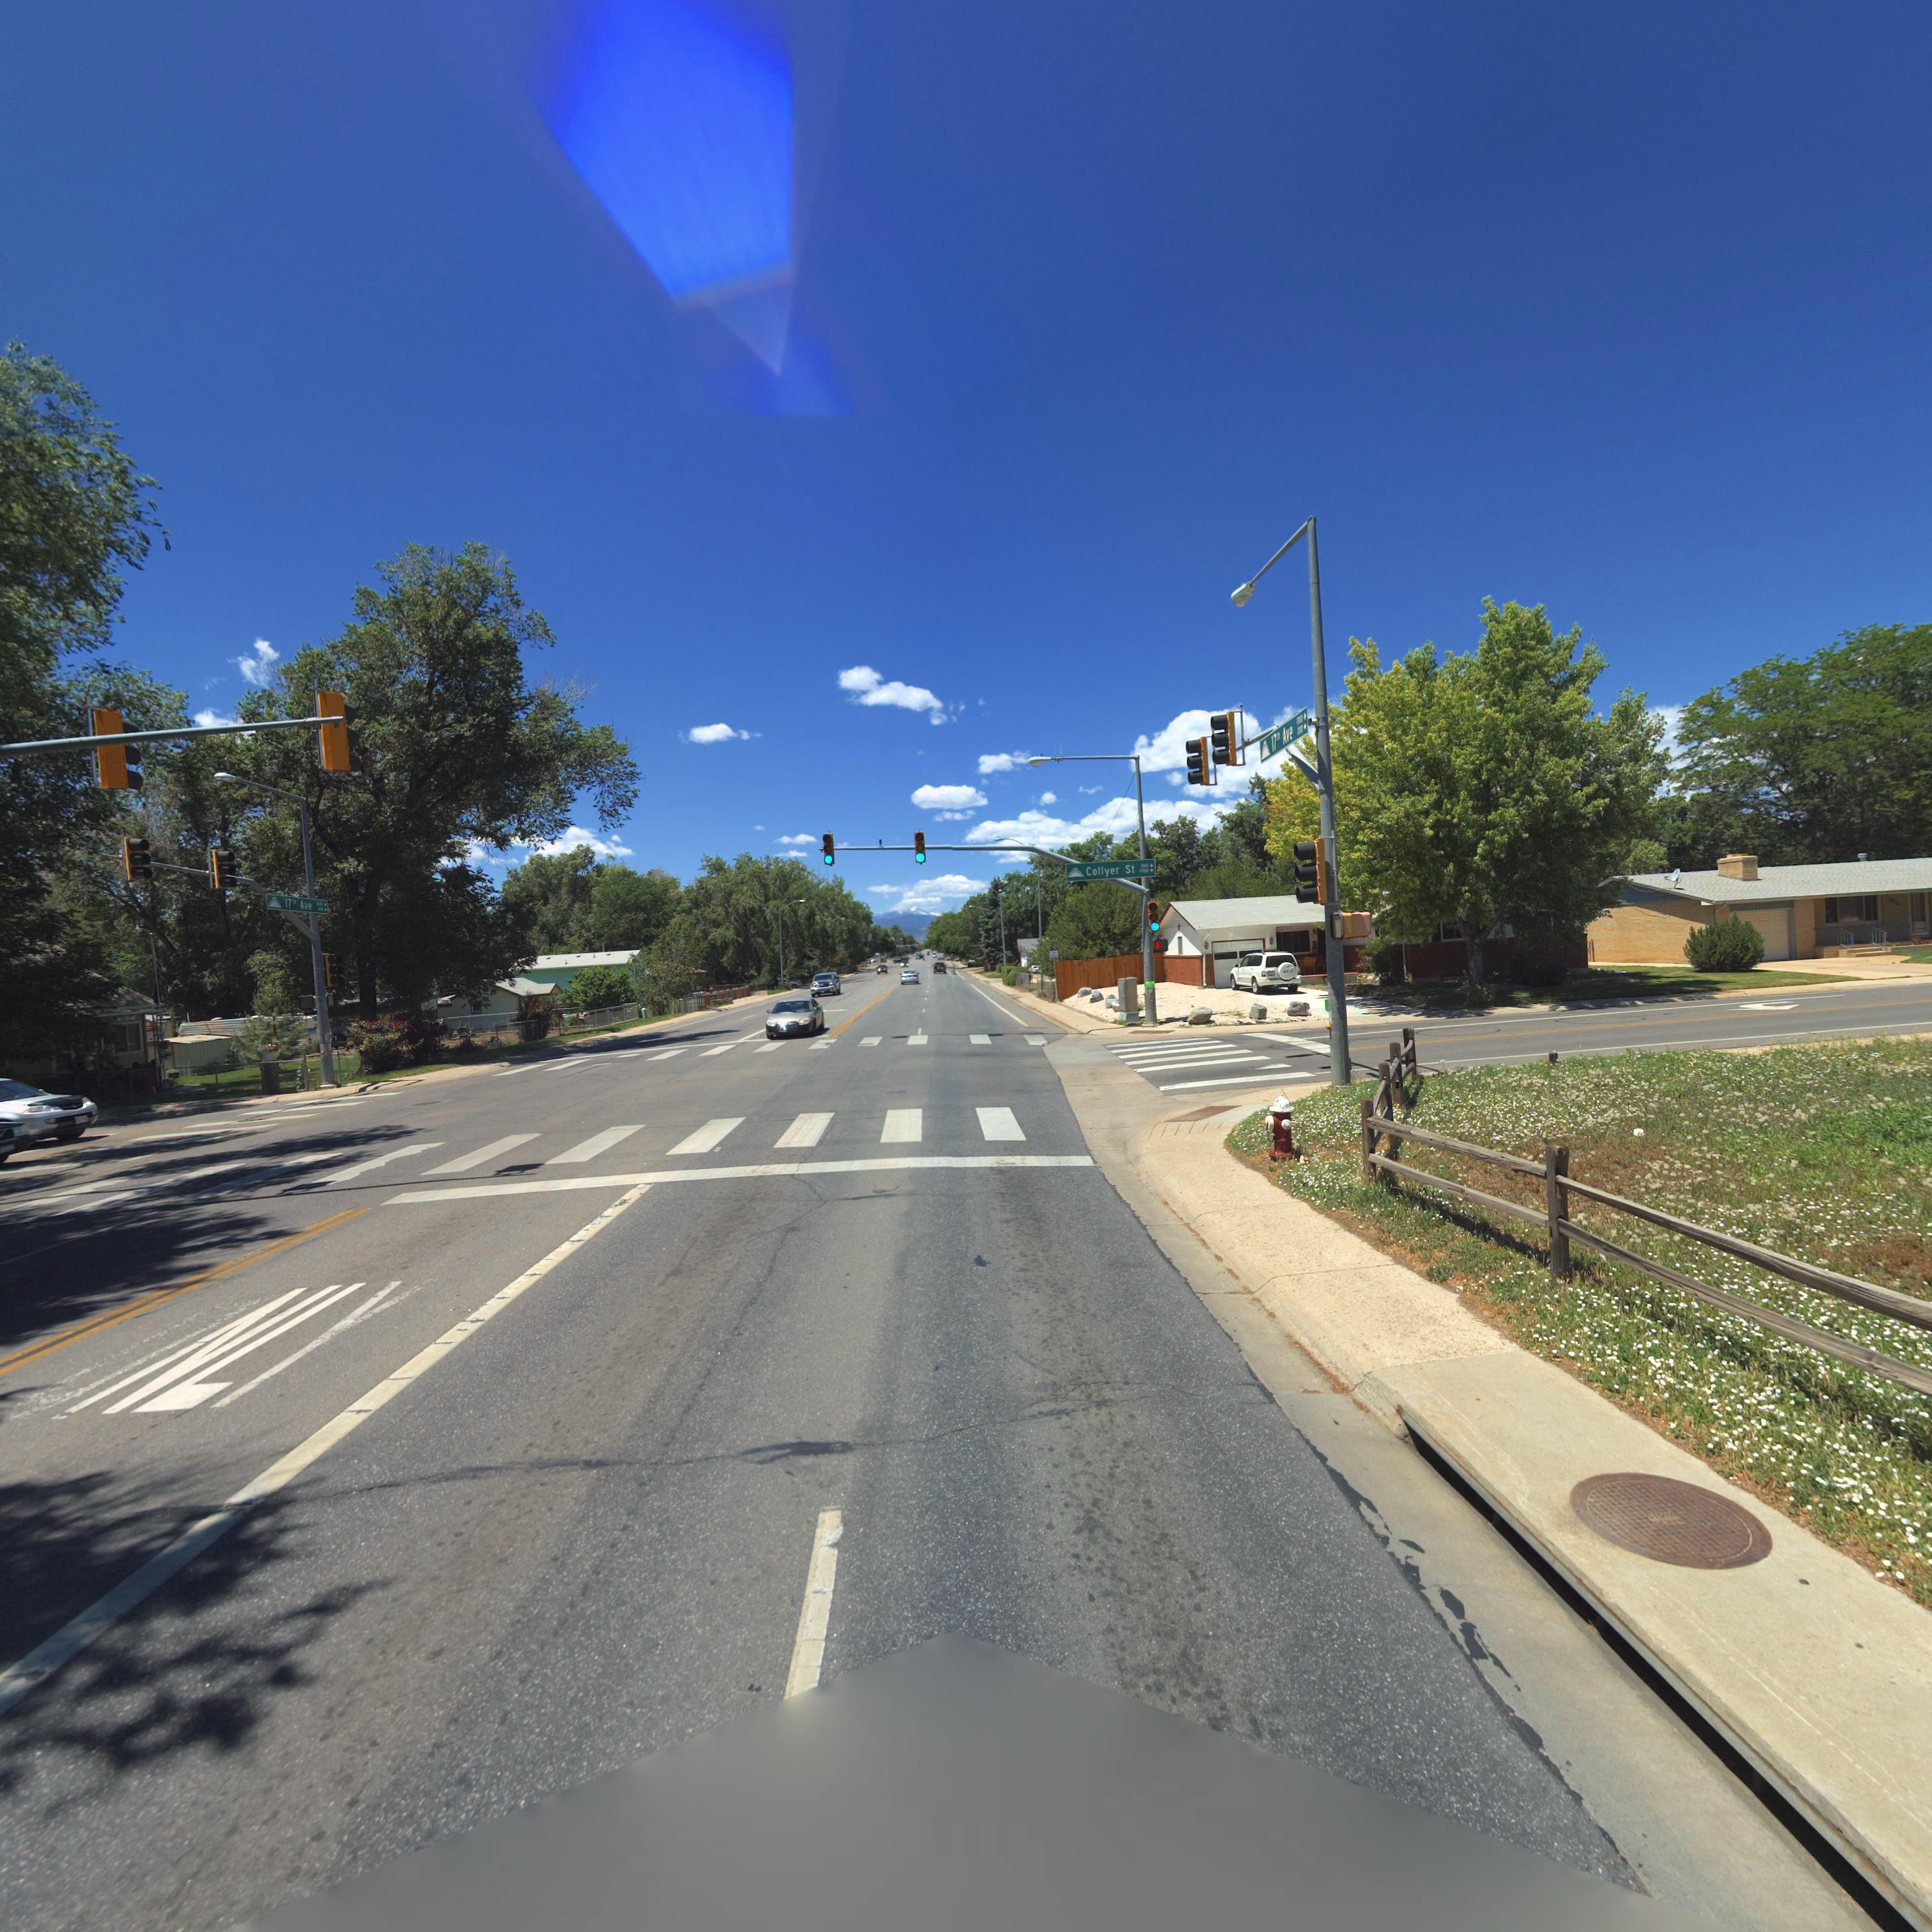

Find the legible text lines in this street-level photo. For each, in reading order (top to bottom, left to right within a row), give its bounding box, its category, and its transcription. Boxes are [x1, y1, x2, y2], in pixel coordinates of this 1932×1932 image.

[1296, 714, 1303, 725] StreetNumberRange: 1700
[1296, 724, 1307, 735] StreetNumberRange: 200->
[1271, 725, 1293, 752] StreetName: 17th Ave
[1085, 864, 1135, 877] StreetName: Collyer St
[1140, 863, 1149, 868] StreetNumberRange: 300
[1139, 868, 1154, 872] StreetNumberRange: **00->
[285, 898, 312, 910] StreetName: 17th Ave